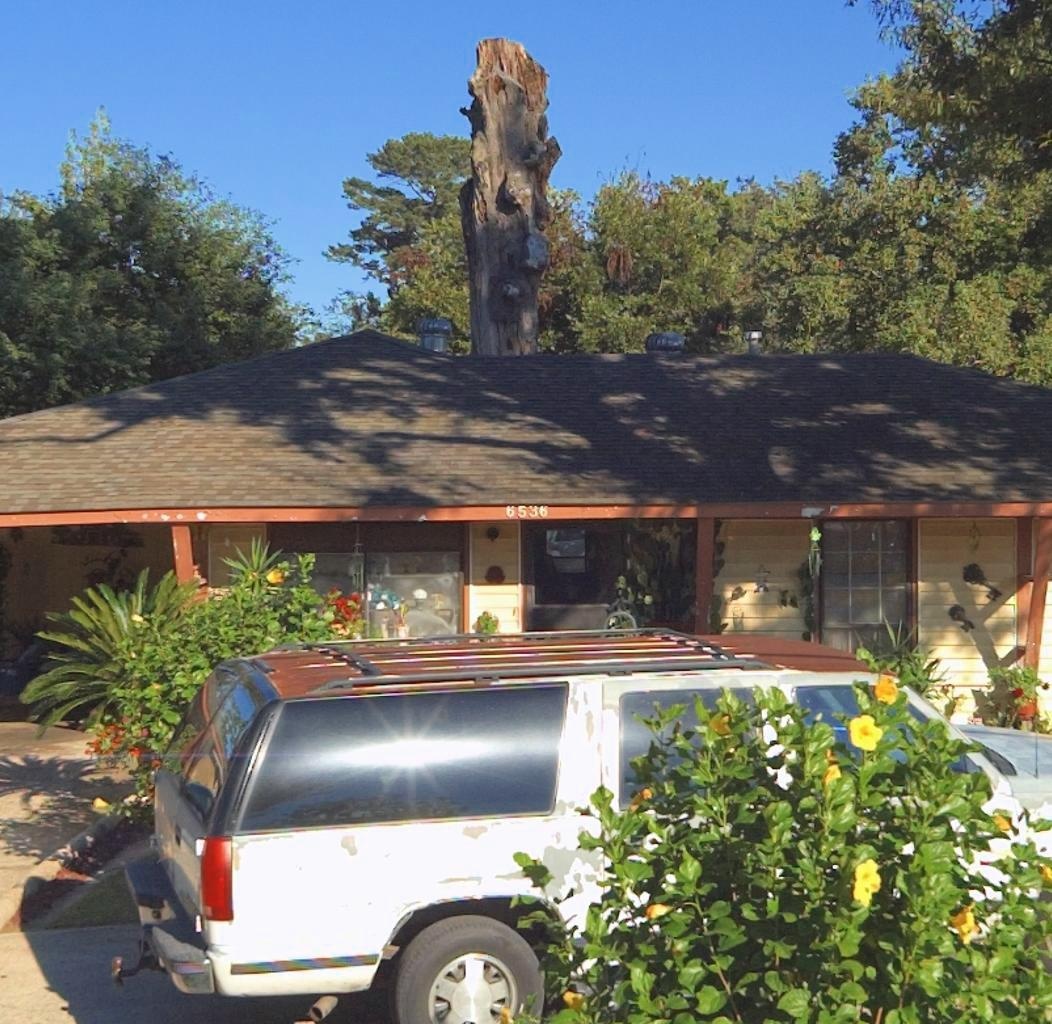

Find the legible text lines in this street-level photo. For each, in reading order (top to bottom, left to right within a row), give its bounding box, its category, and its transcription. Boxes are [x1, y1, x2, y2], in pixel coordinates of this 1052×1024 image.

[505, 503, 549, 519] StreetNumber: 6536